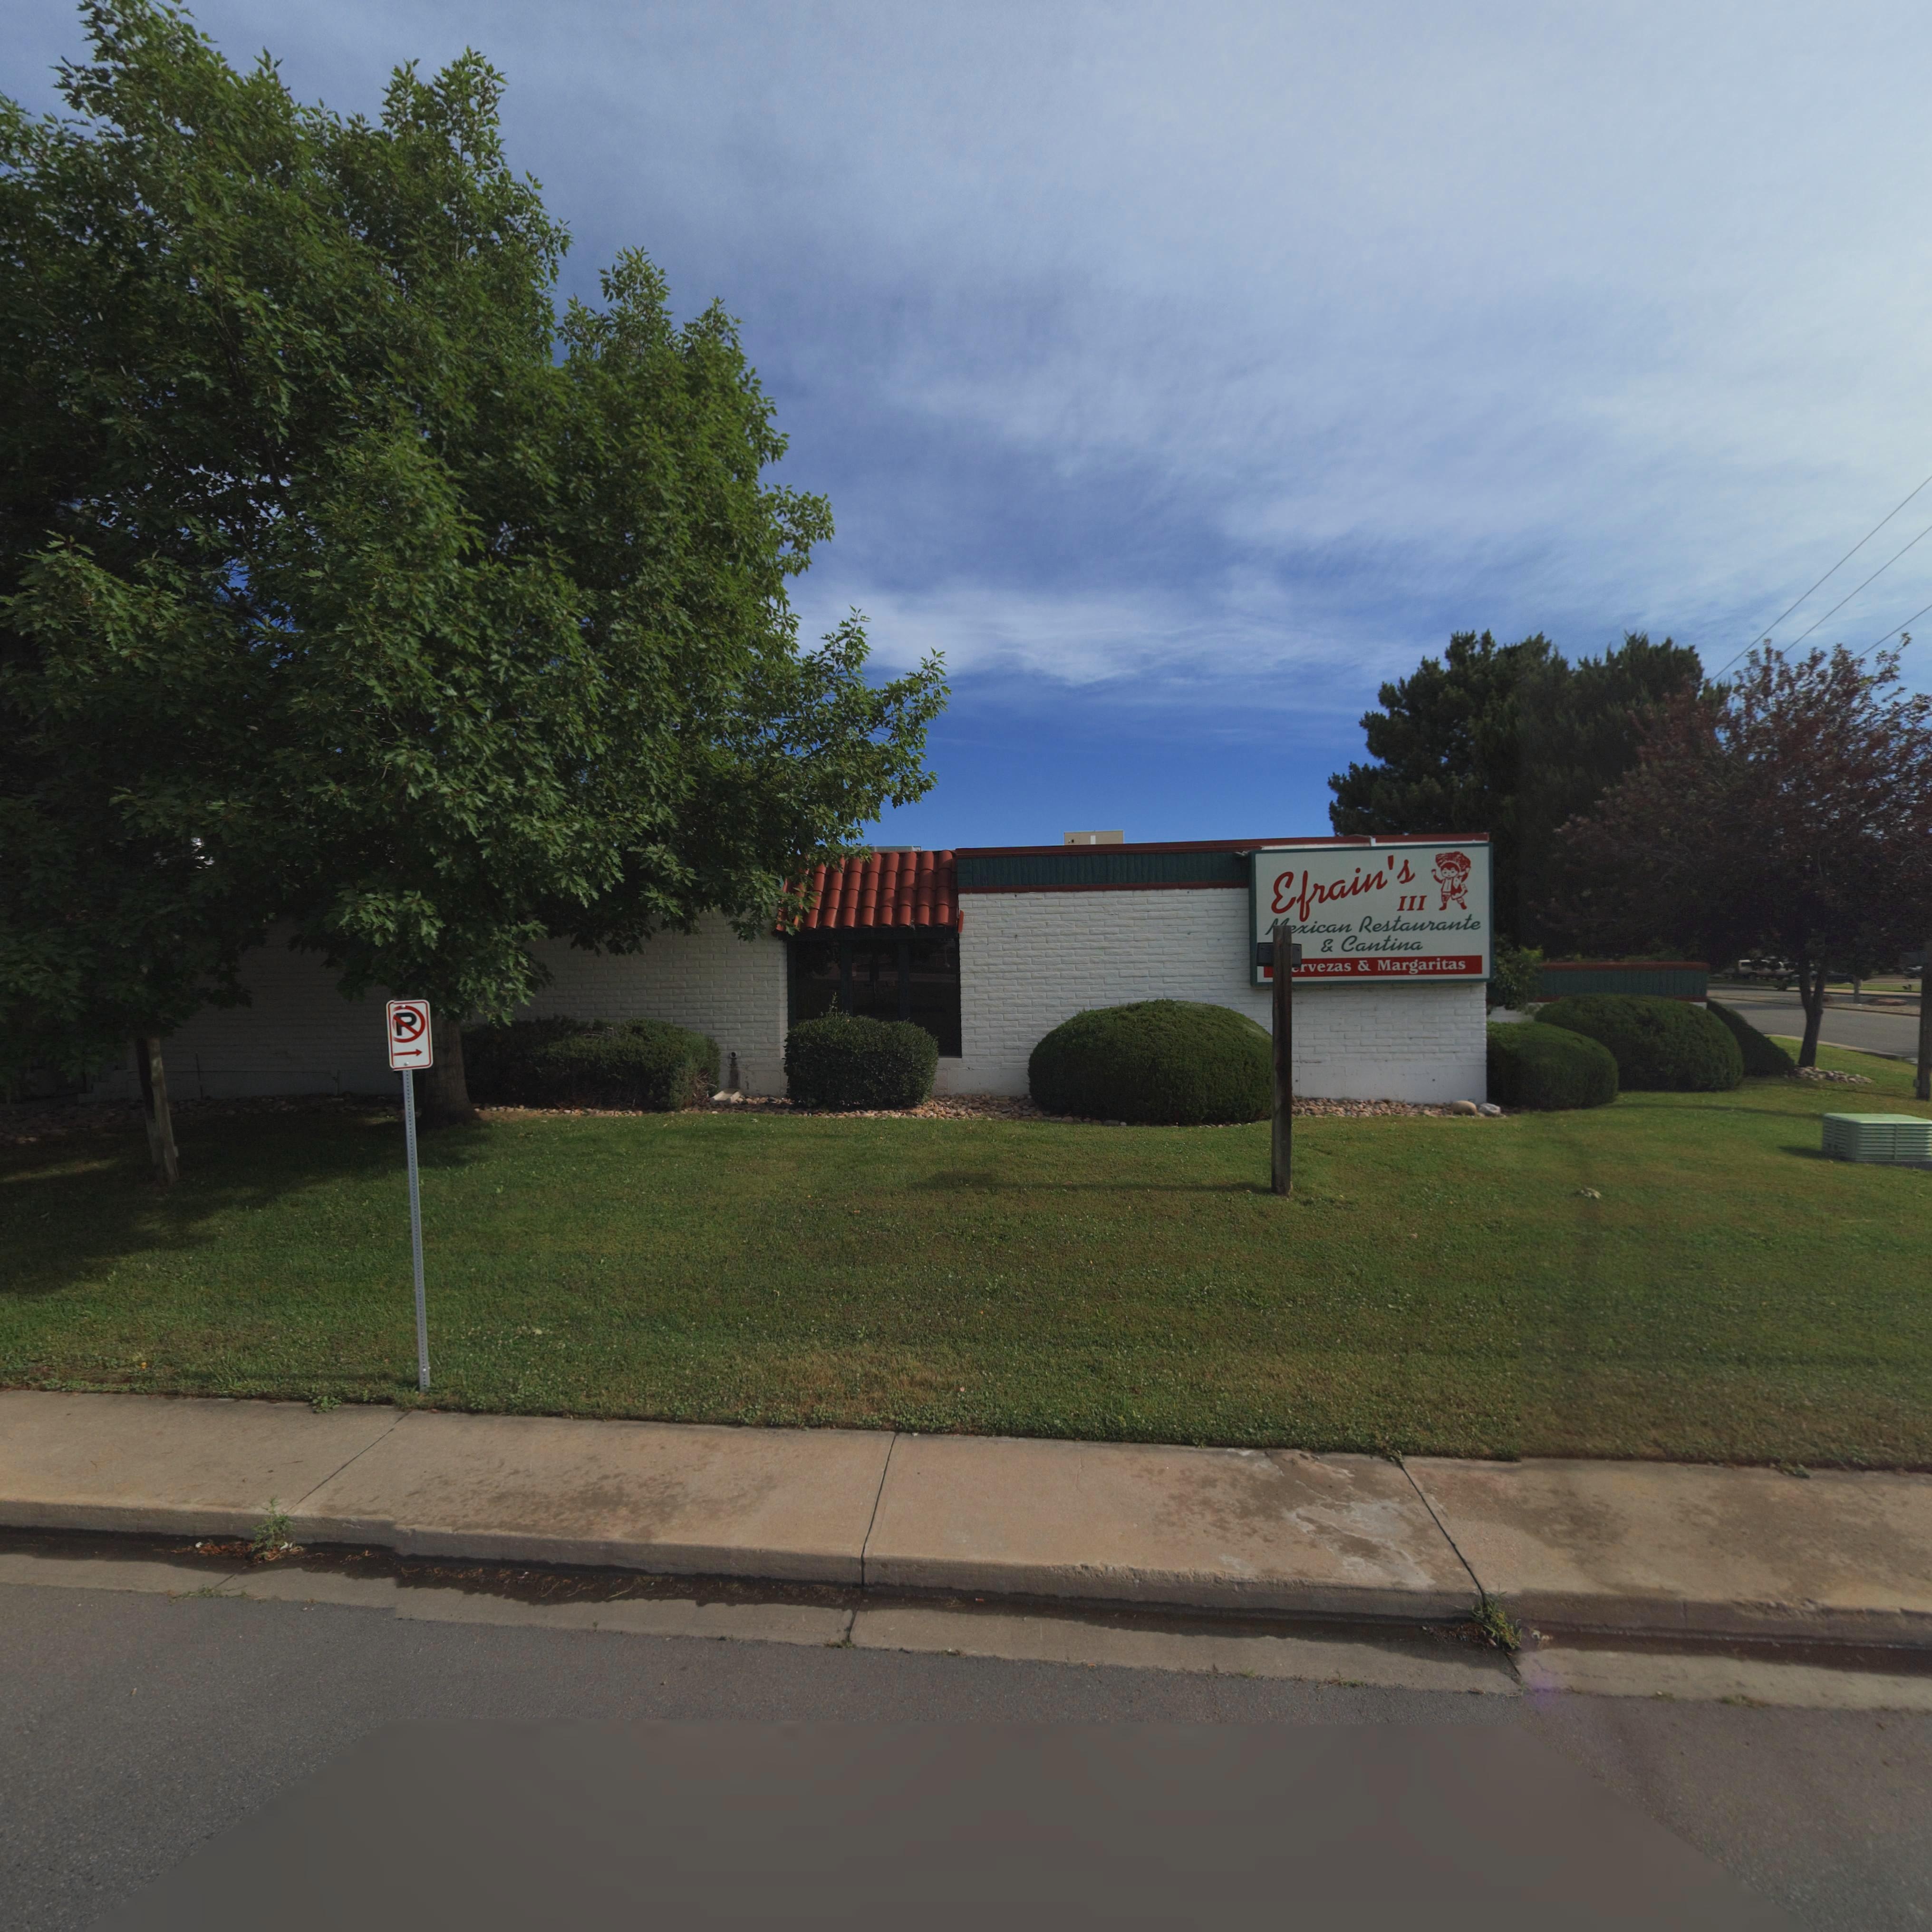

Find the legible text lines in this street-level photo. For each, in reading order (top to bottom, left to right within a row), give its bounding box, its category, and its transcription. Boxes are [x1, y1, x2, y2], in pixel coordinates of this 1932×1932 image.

[1270, 854, 1415, 923] BusinessName: Efrain*s
[1263, 913, 1481, 936] BusinessName: **xican Tesaurante
[1320, 934, 1423, 953] BusinessName: * Cantina